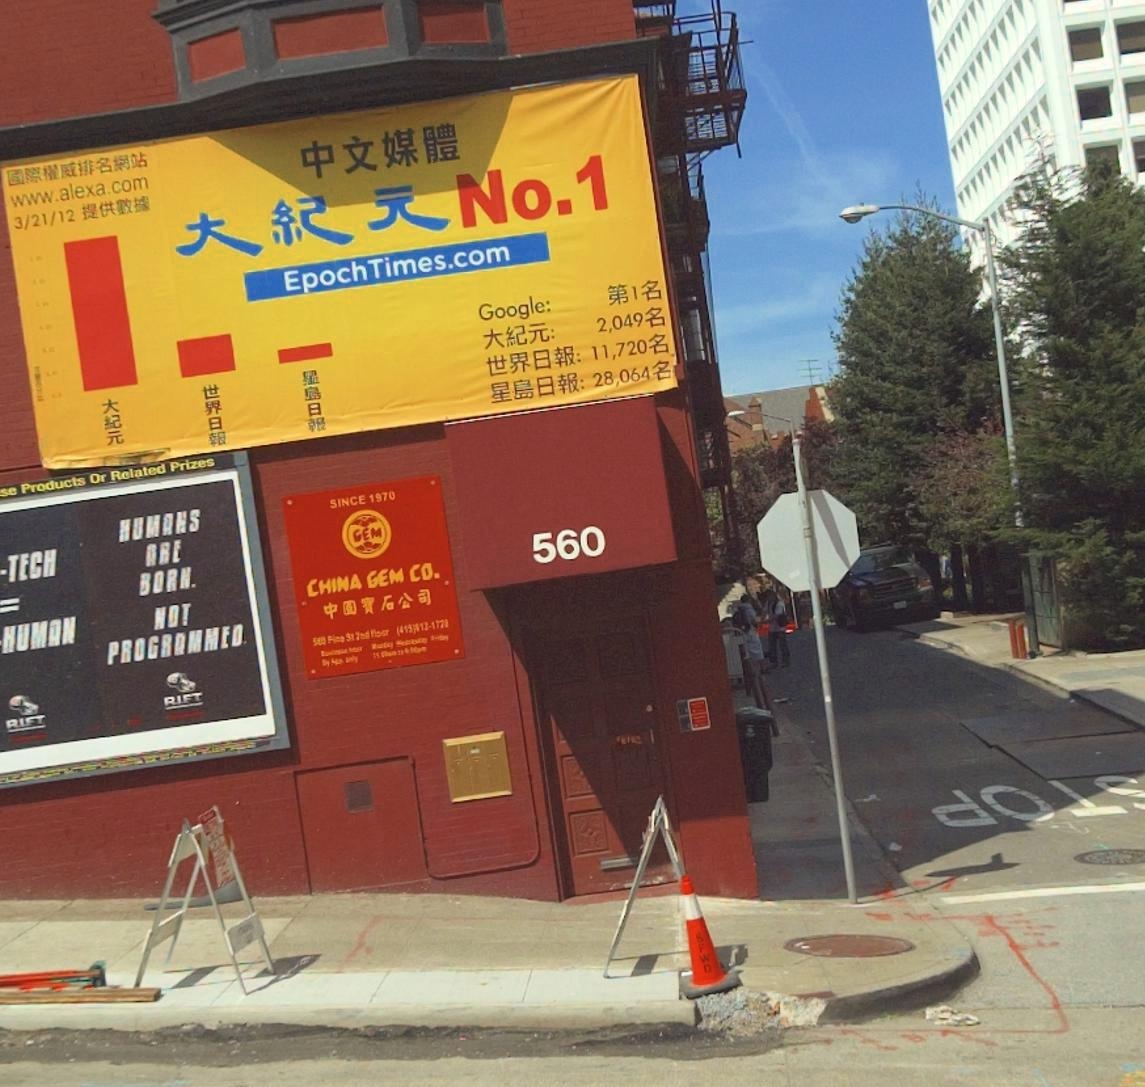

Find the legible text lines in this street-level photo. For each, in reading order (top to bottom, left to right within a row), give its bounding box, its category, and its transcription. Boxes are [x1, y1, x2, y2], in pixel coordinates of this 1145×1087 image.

[6, 173, 150, 210] None: www.alexa.com
[454, 152, 613, 231] None: No.1
[11, 205, 77, 233] None: 3/21/12
[281, 239, 511, 297] None: EpochTimes.com
[476, 291, 554, 322] BusinessName: Google:
[594, 309, 644, 334] None: 2,049
[588, 335, 649, 363] None: 11,720
[590, 363, 654, 390] None: 28,064
[327, 486, 399, 510] None: SINCE 1970
[115, 506, 203, 546] None: HUMANS
[6, 546, 59, 584] None: TECH
[143, 537, 184, 569] None: ARE
[138, 565, 196, 599] None: BORN.
[304, 558, 441, 600] BusinessName: CHINA GEM CO.
[528, 519, 610, 568] StreetNumber: 560
[151, 600, 193, 632] None: NOT
[1, 612, 78, 656] None: HUMAN
[105, 622, 248, 669] None: PROGRAMMED.
[162, 689, 204, 709] BusinessName: RIFT
[3, 713, 47, 731] BusinessName: RIFT
[915, 774, 1132, 836] None: *O*